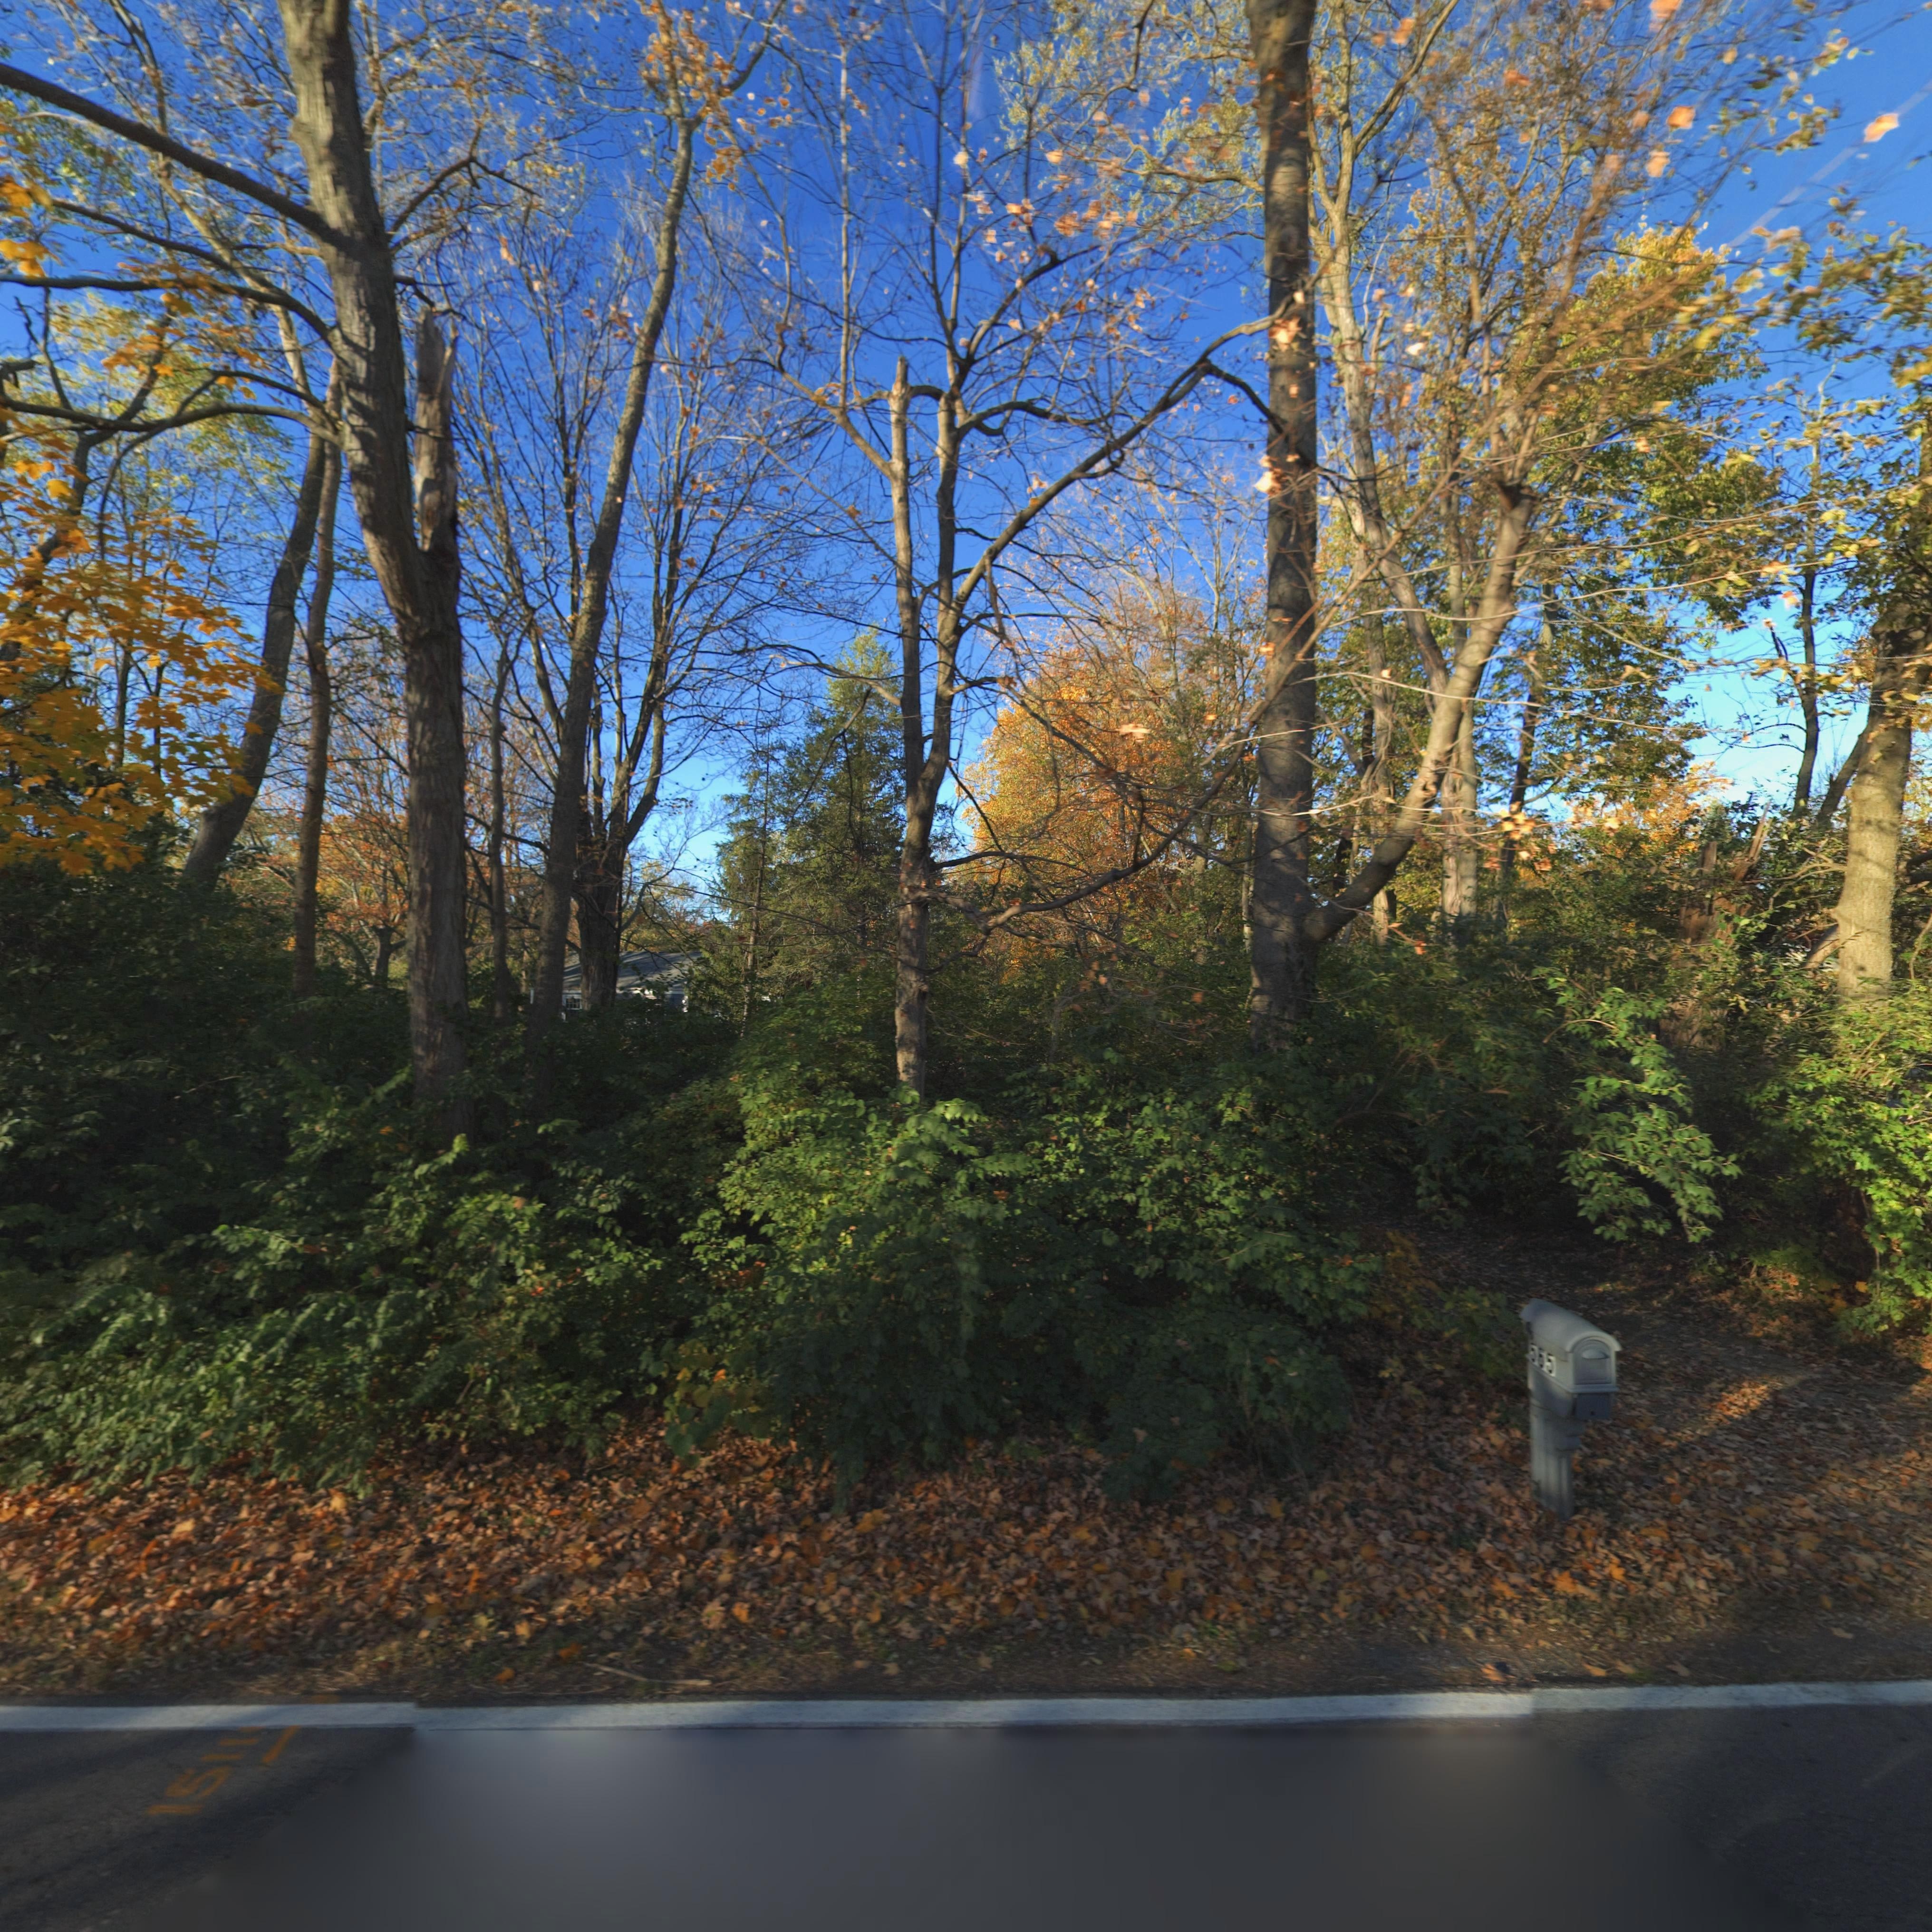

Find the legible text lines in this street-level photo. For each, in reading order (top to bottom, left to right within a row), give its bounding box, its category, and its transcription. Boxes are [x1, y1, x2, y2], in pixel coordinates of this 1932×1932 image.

[1528, 1338, 1556, 1378] StreetNumber: 5*5